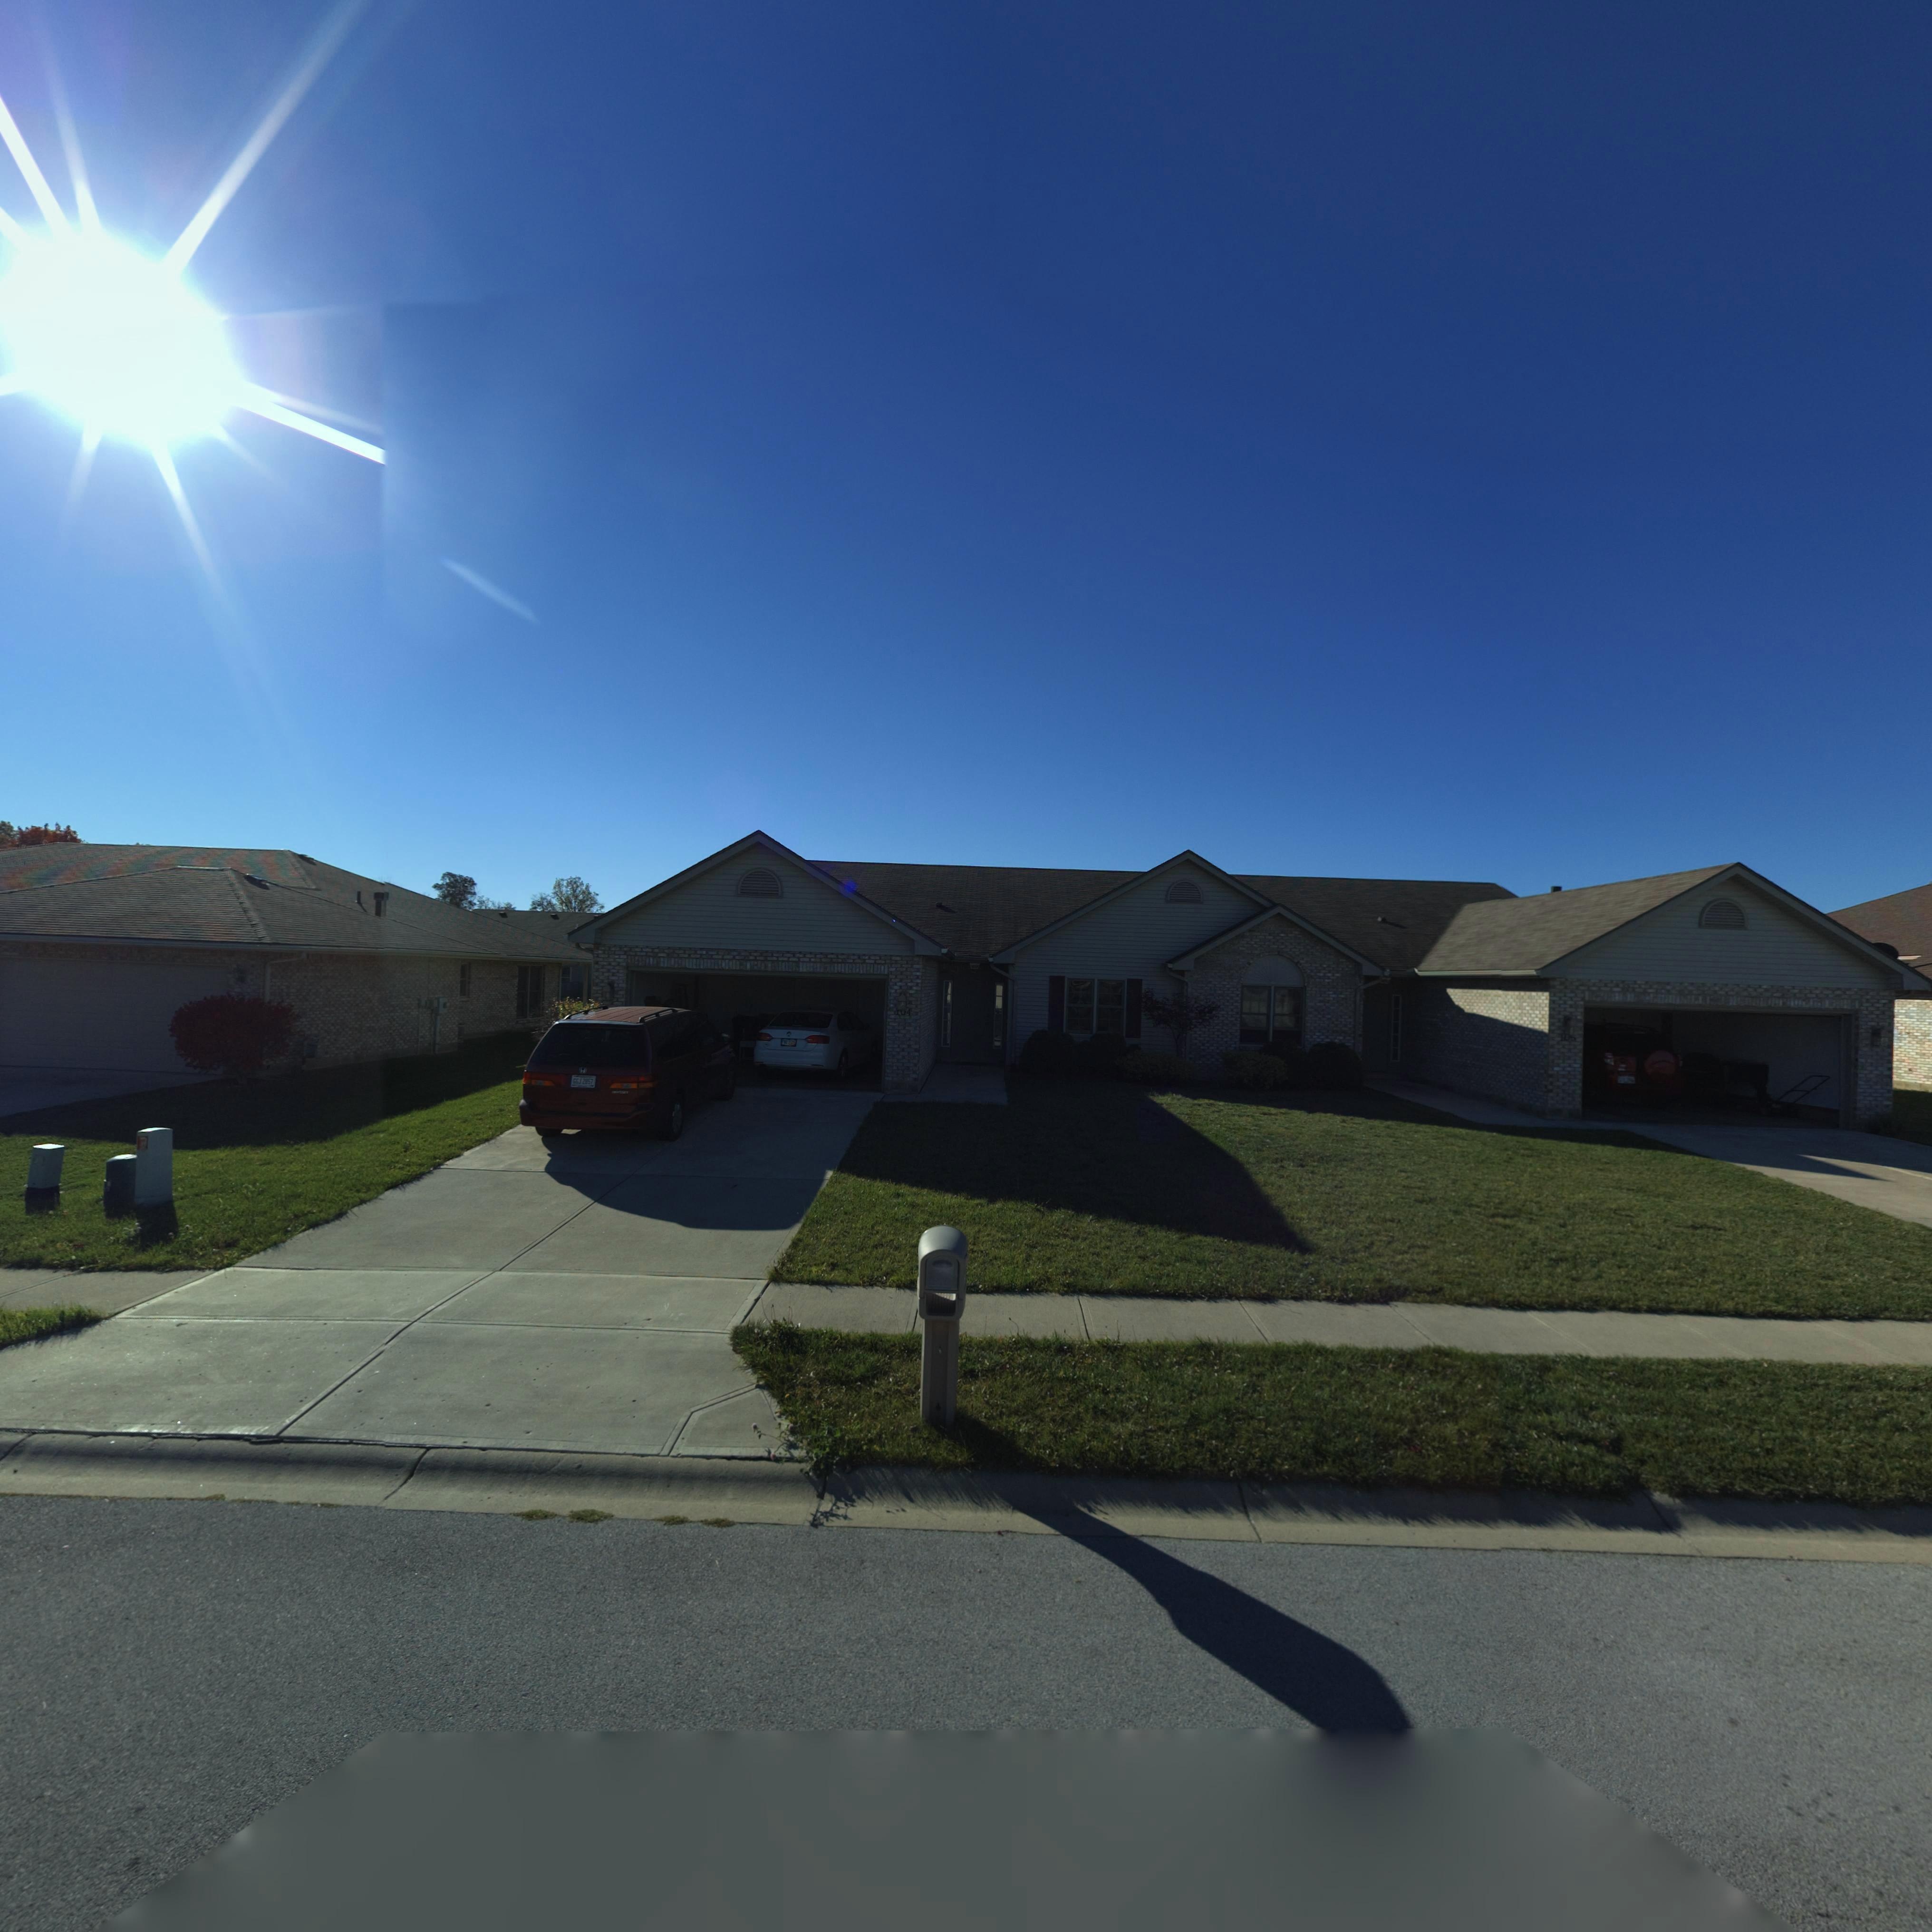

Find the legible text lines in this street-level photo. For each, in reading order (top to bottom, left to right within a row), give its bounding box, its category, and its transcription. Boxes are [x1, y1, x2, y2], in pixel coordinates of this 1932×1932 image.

[905, 1007, 911, 1016] StreetNumber: 4